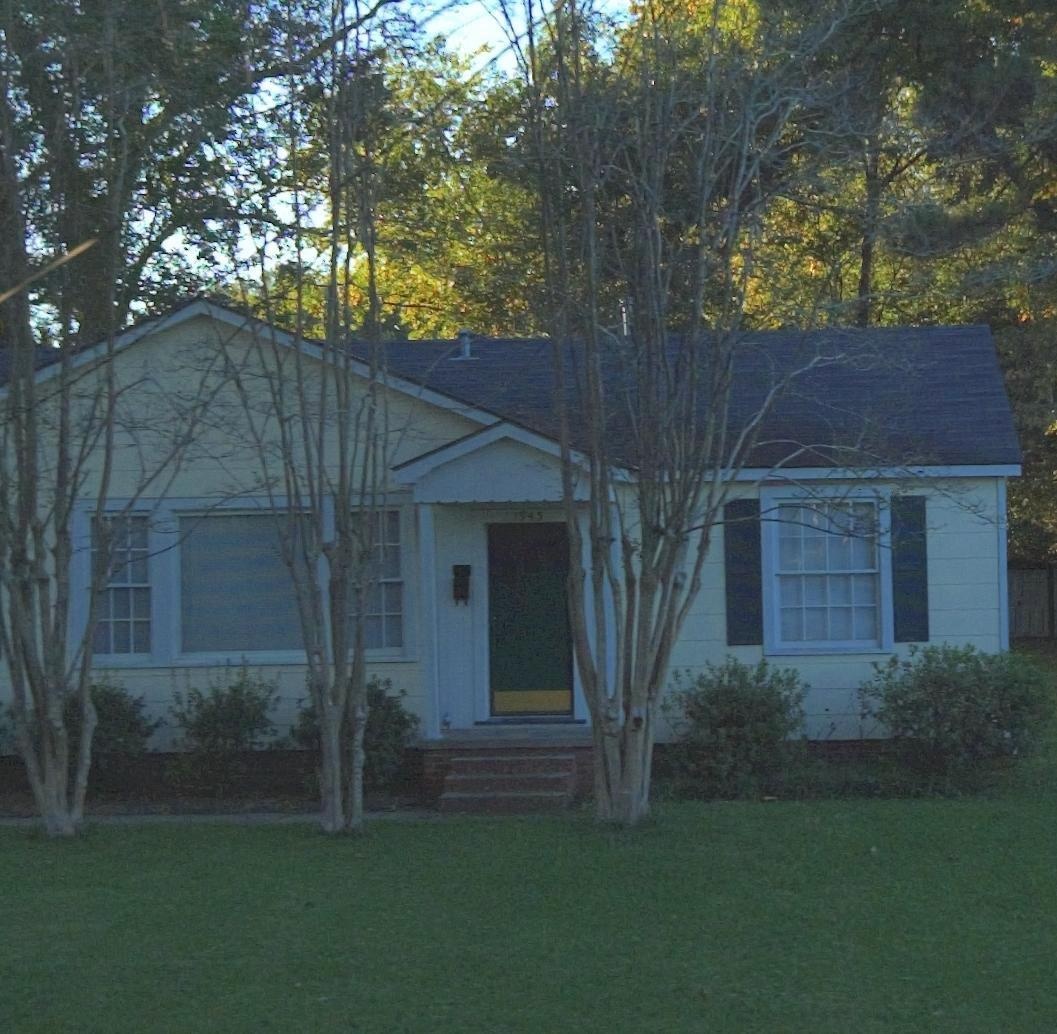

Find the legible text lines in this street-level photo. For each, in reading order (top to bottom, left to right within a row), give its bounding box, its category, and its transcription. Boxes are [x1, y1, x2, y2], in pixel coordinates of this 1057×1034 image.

[511, 510, 545, 523] StreetNumber: 1945